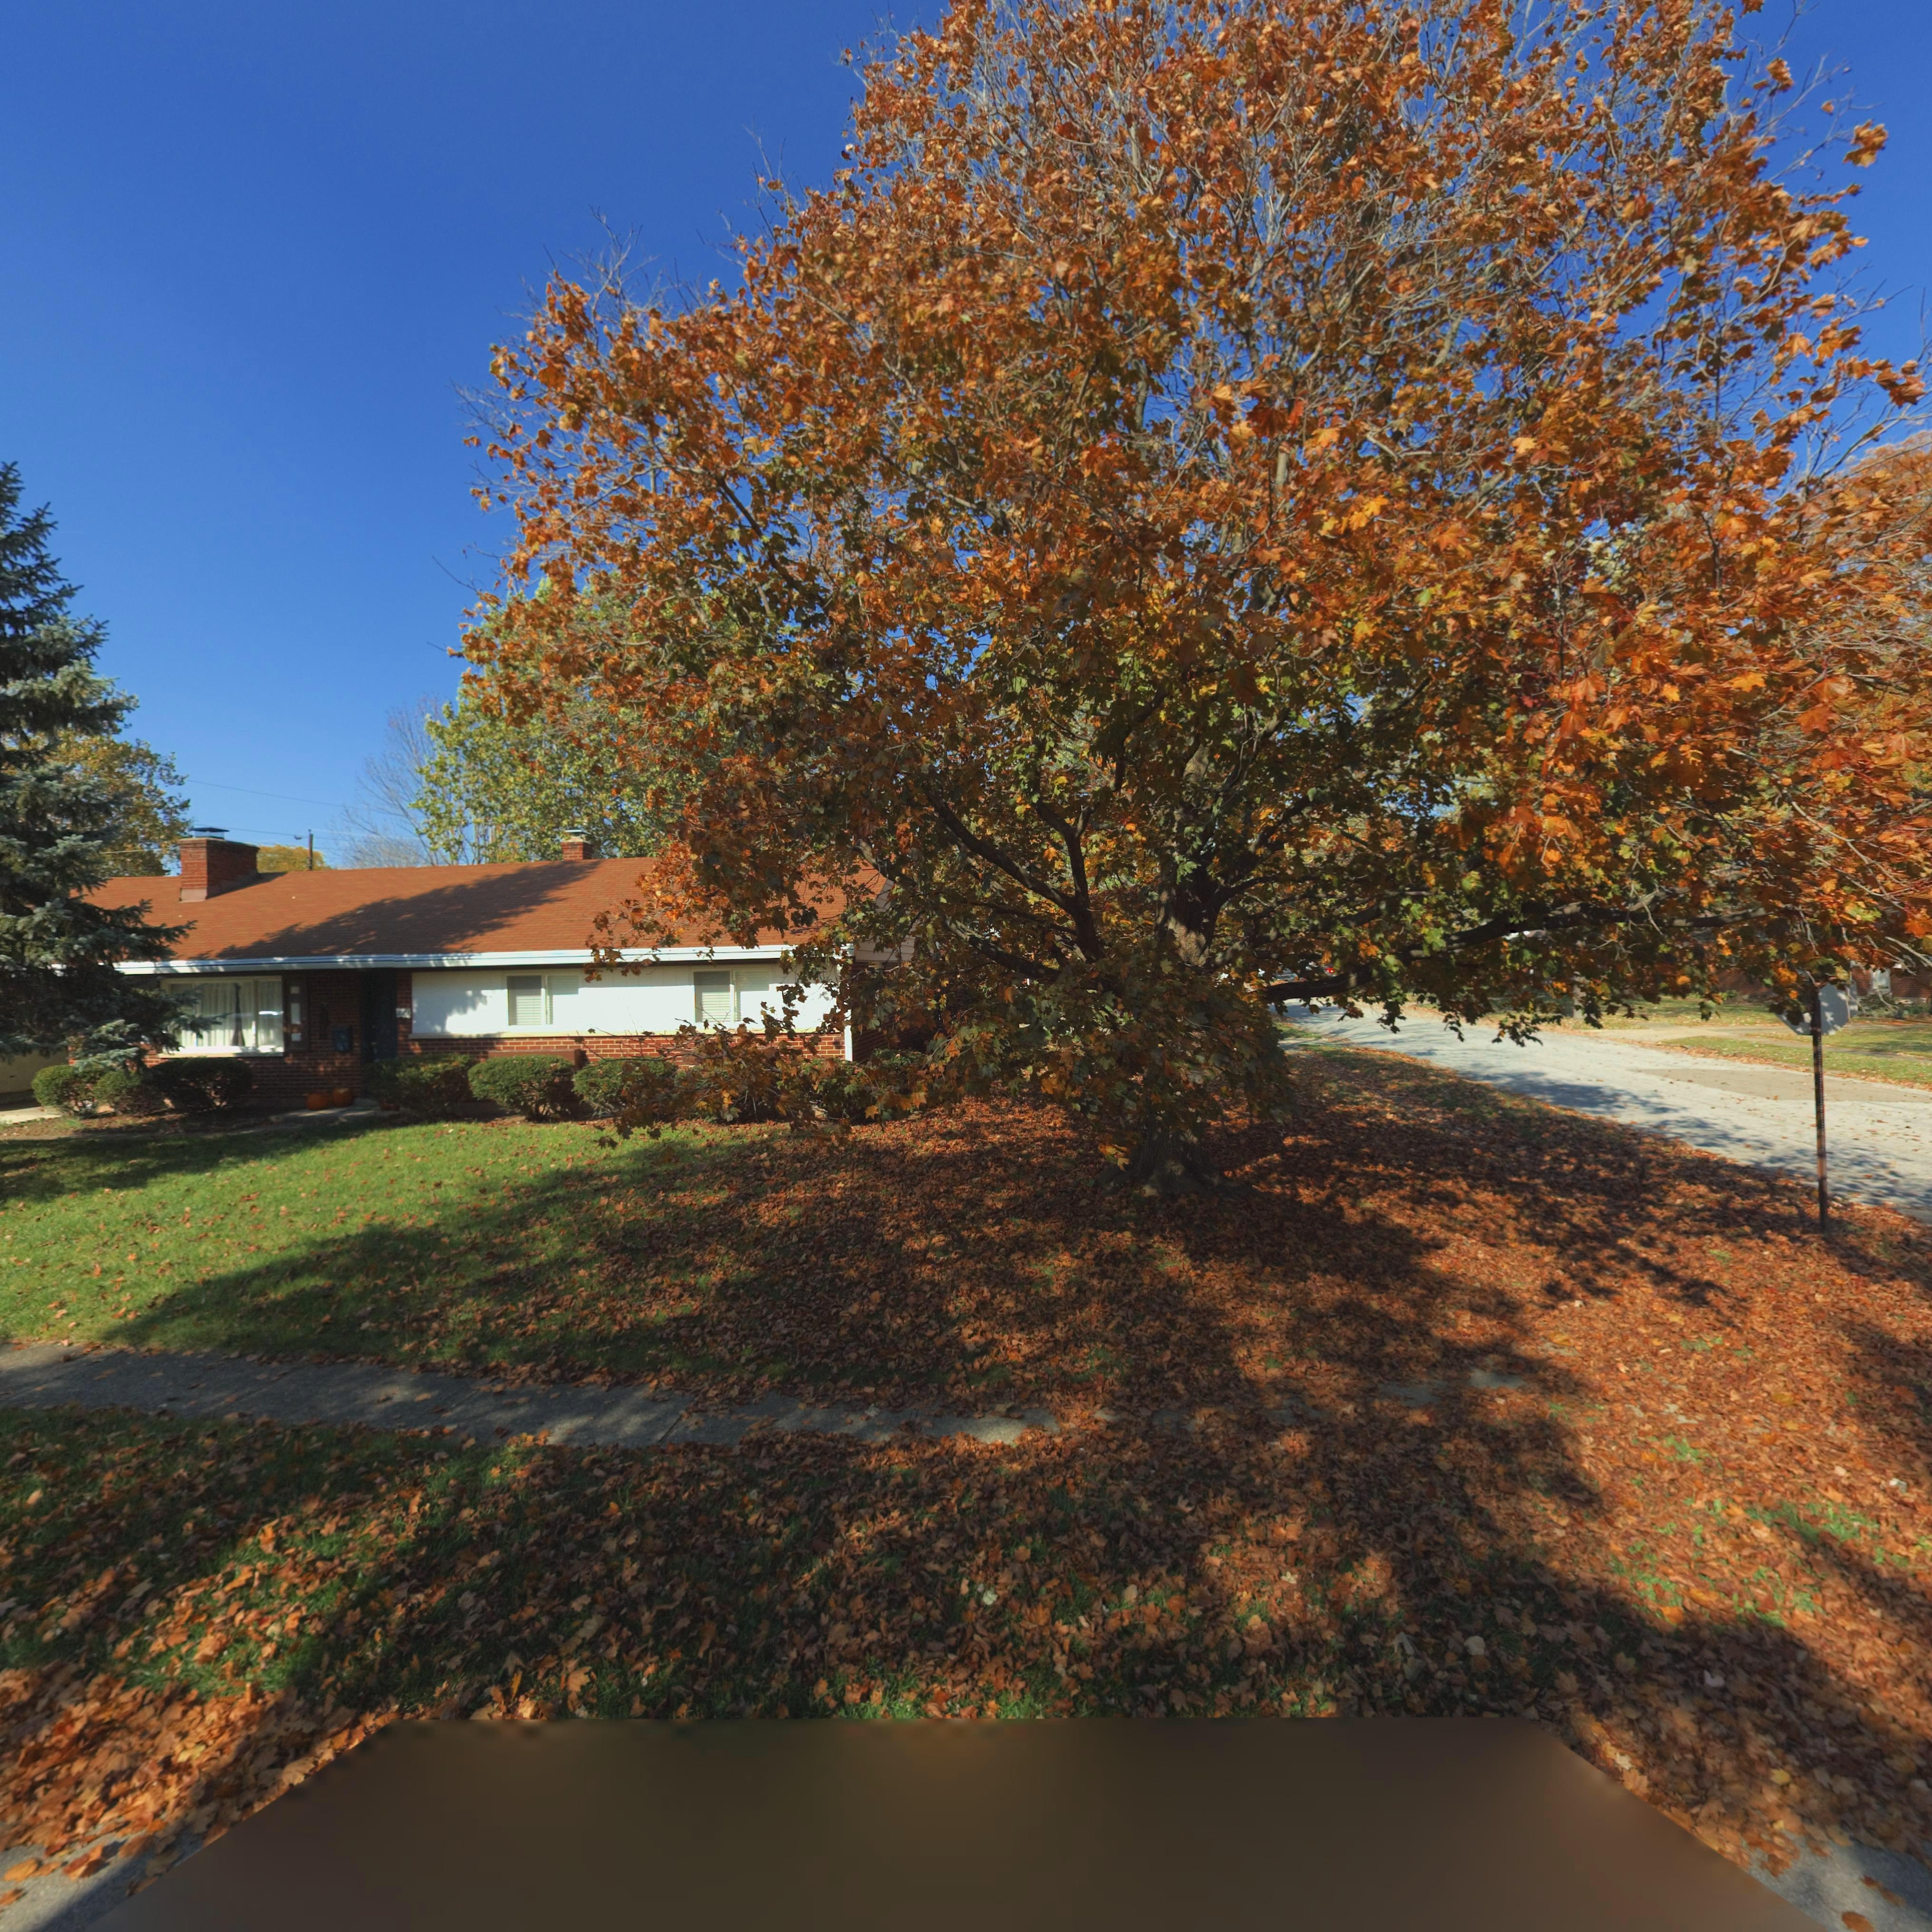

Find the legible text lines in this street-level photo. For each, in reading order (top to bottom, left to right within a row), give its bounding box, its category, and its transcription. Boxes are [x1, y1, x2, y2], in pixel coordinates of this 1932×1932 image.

[396, 1009, 409, 1016] StreetNumber: 1081